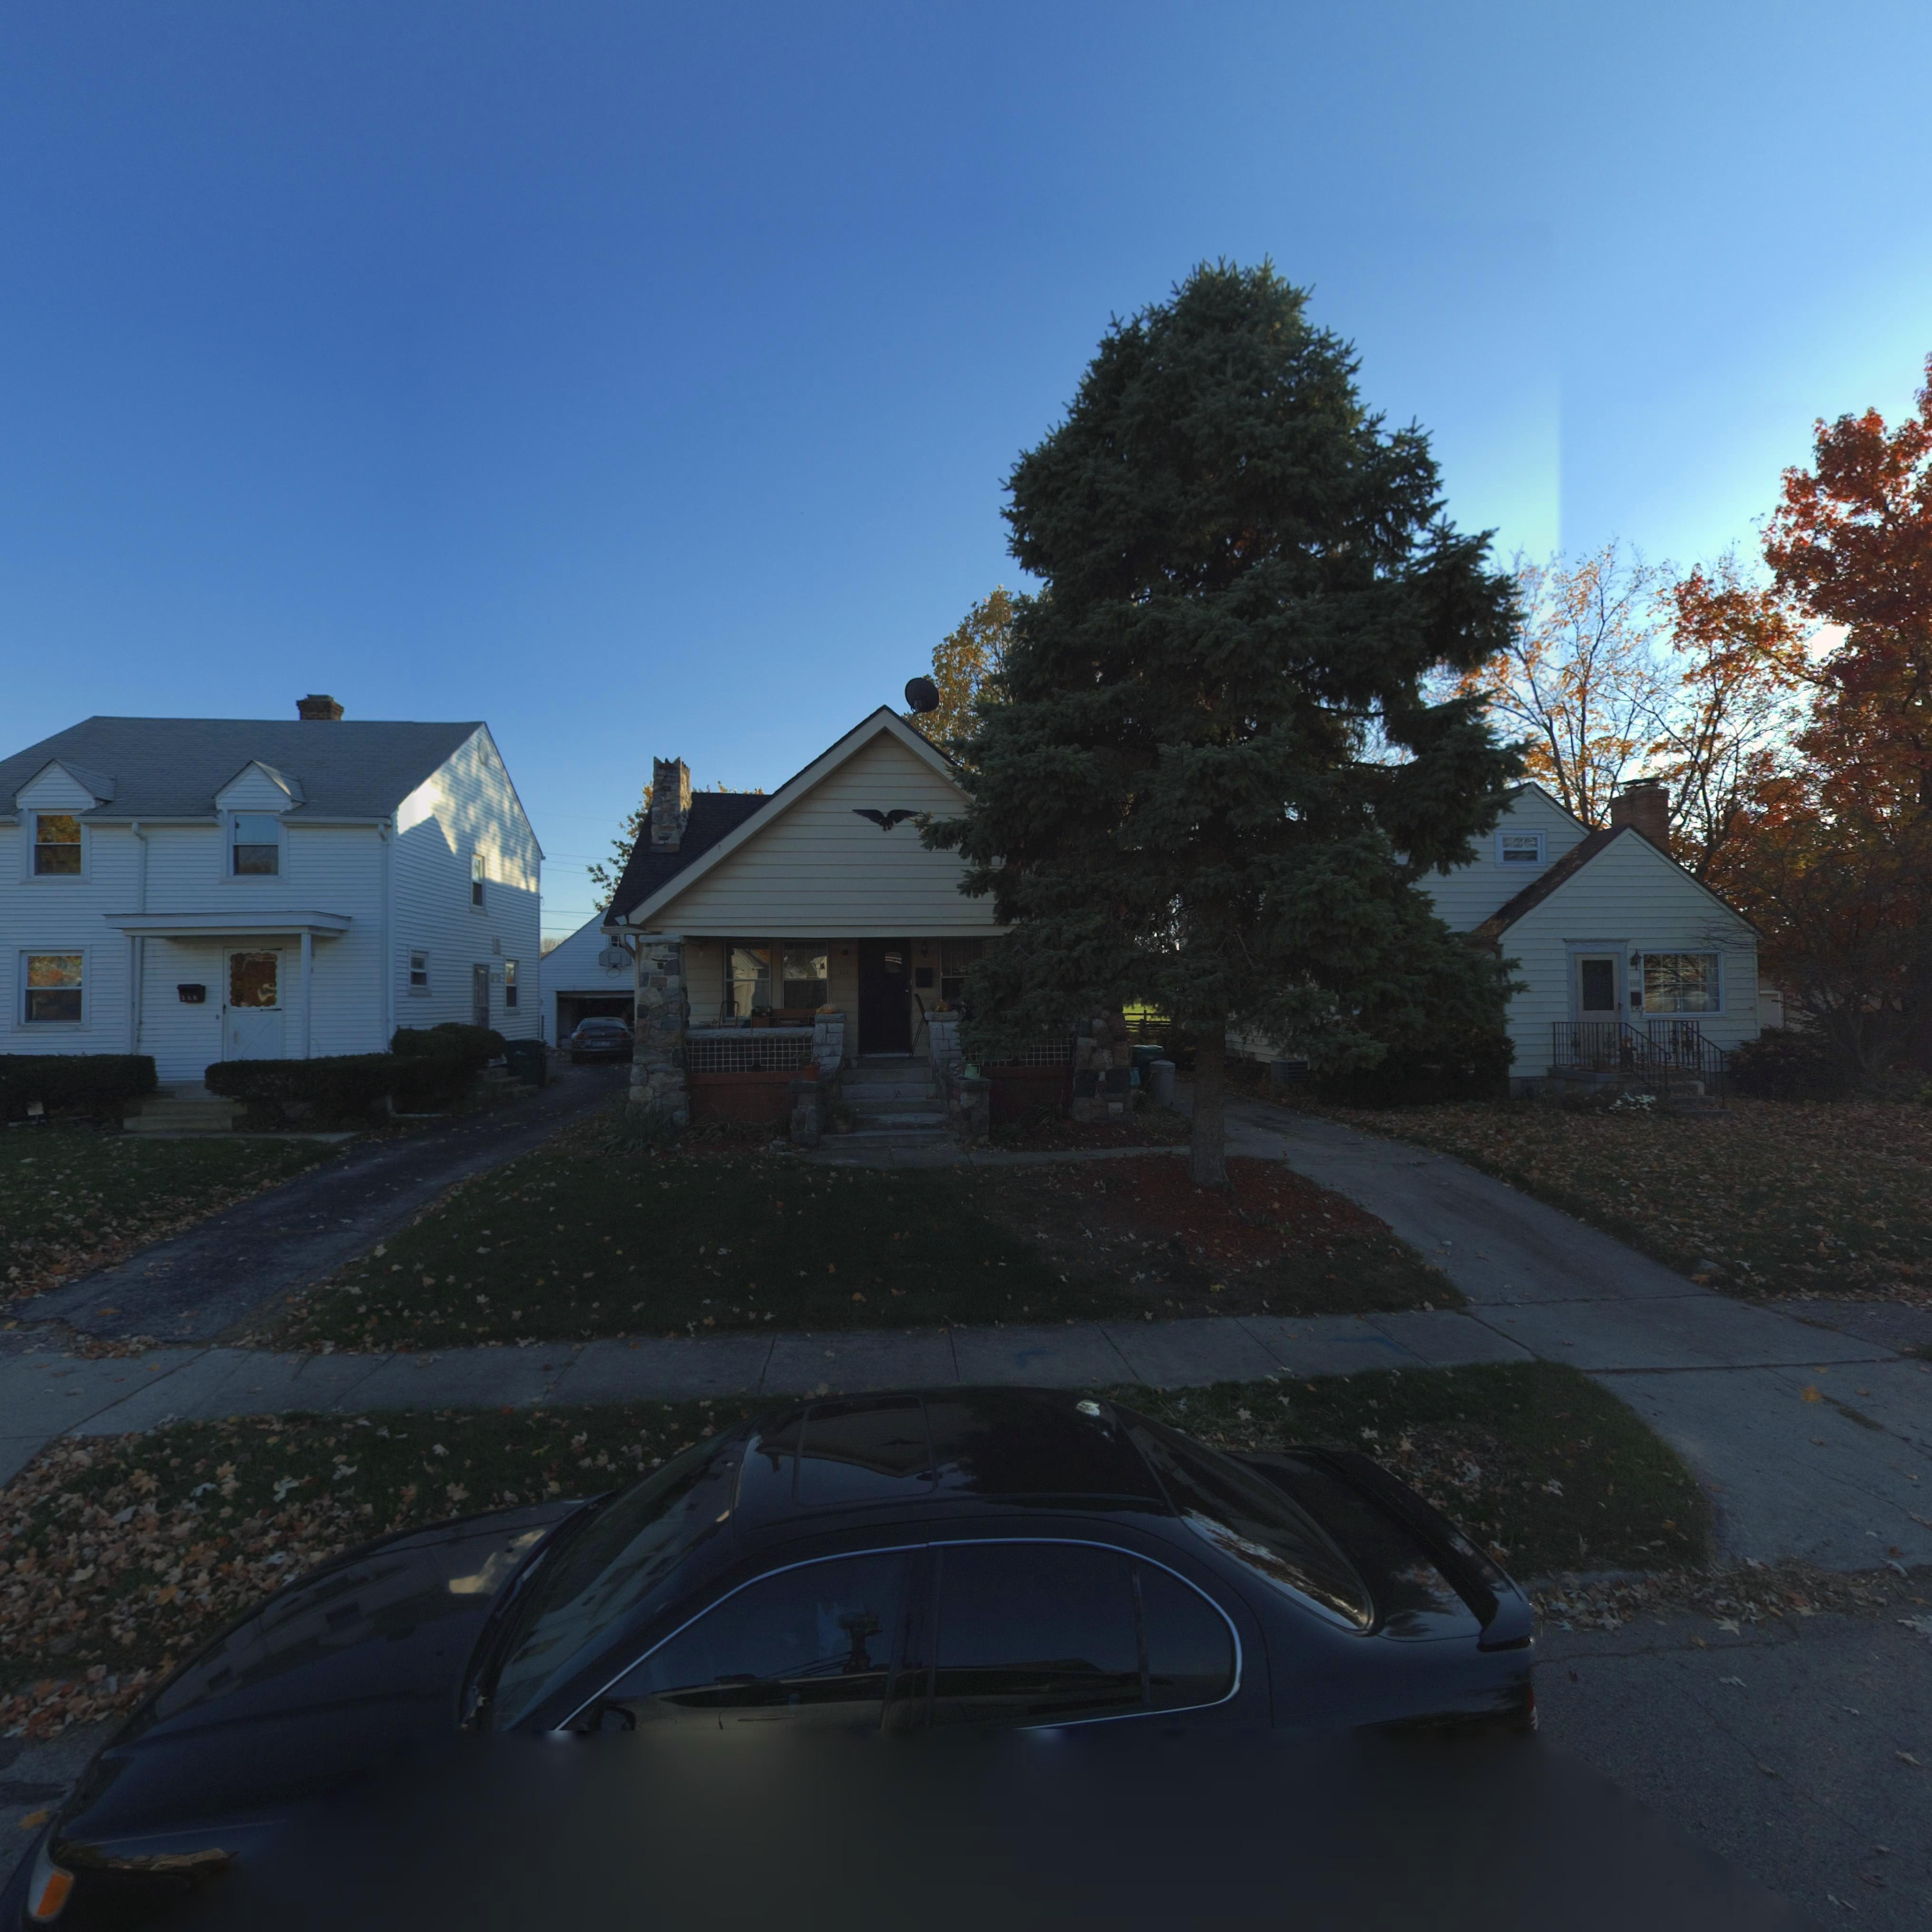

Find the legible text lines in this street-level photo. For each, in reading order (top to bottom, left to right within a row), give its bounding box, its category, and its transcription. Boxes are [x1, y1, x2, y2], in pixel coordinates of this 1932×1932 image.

[838, 969, 849, 975] StreetNumber: 304
[1627, 981, 1640, 987] StreetNumber: 300
[180, 995, 198, 1001] StreetNumber: 308